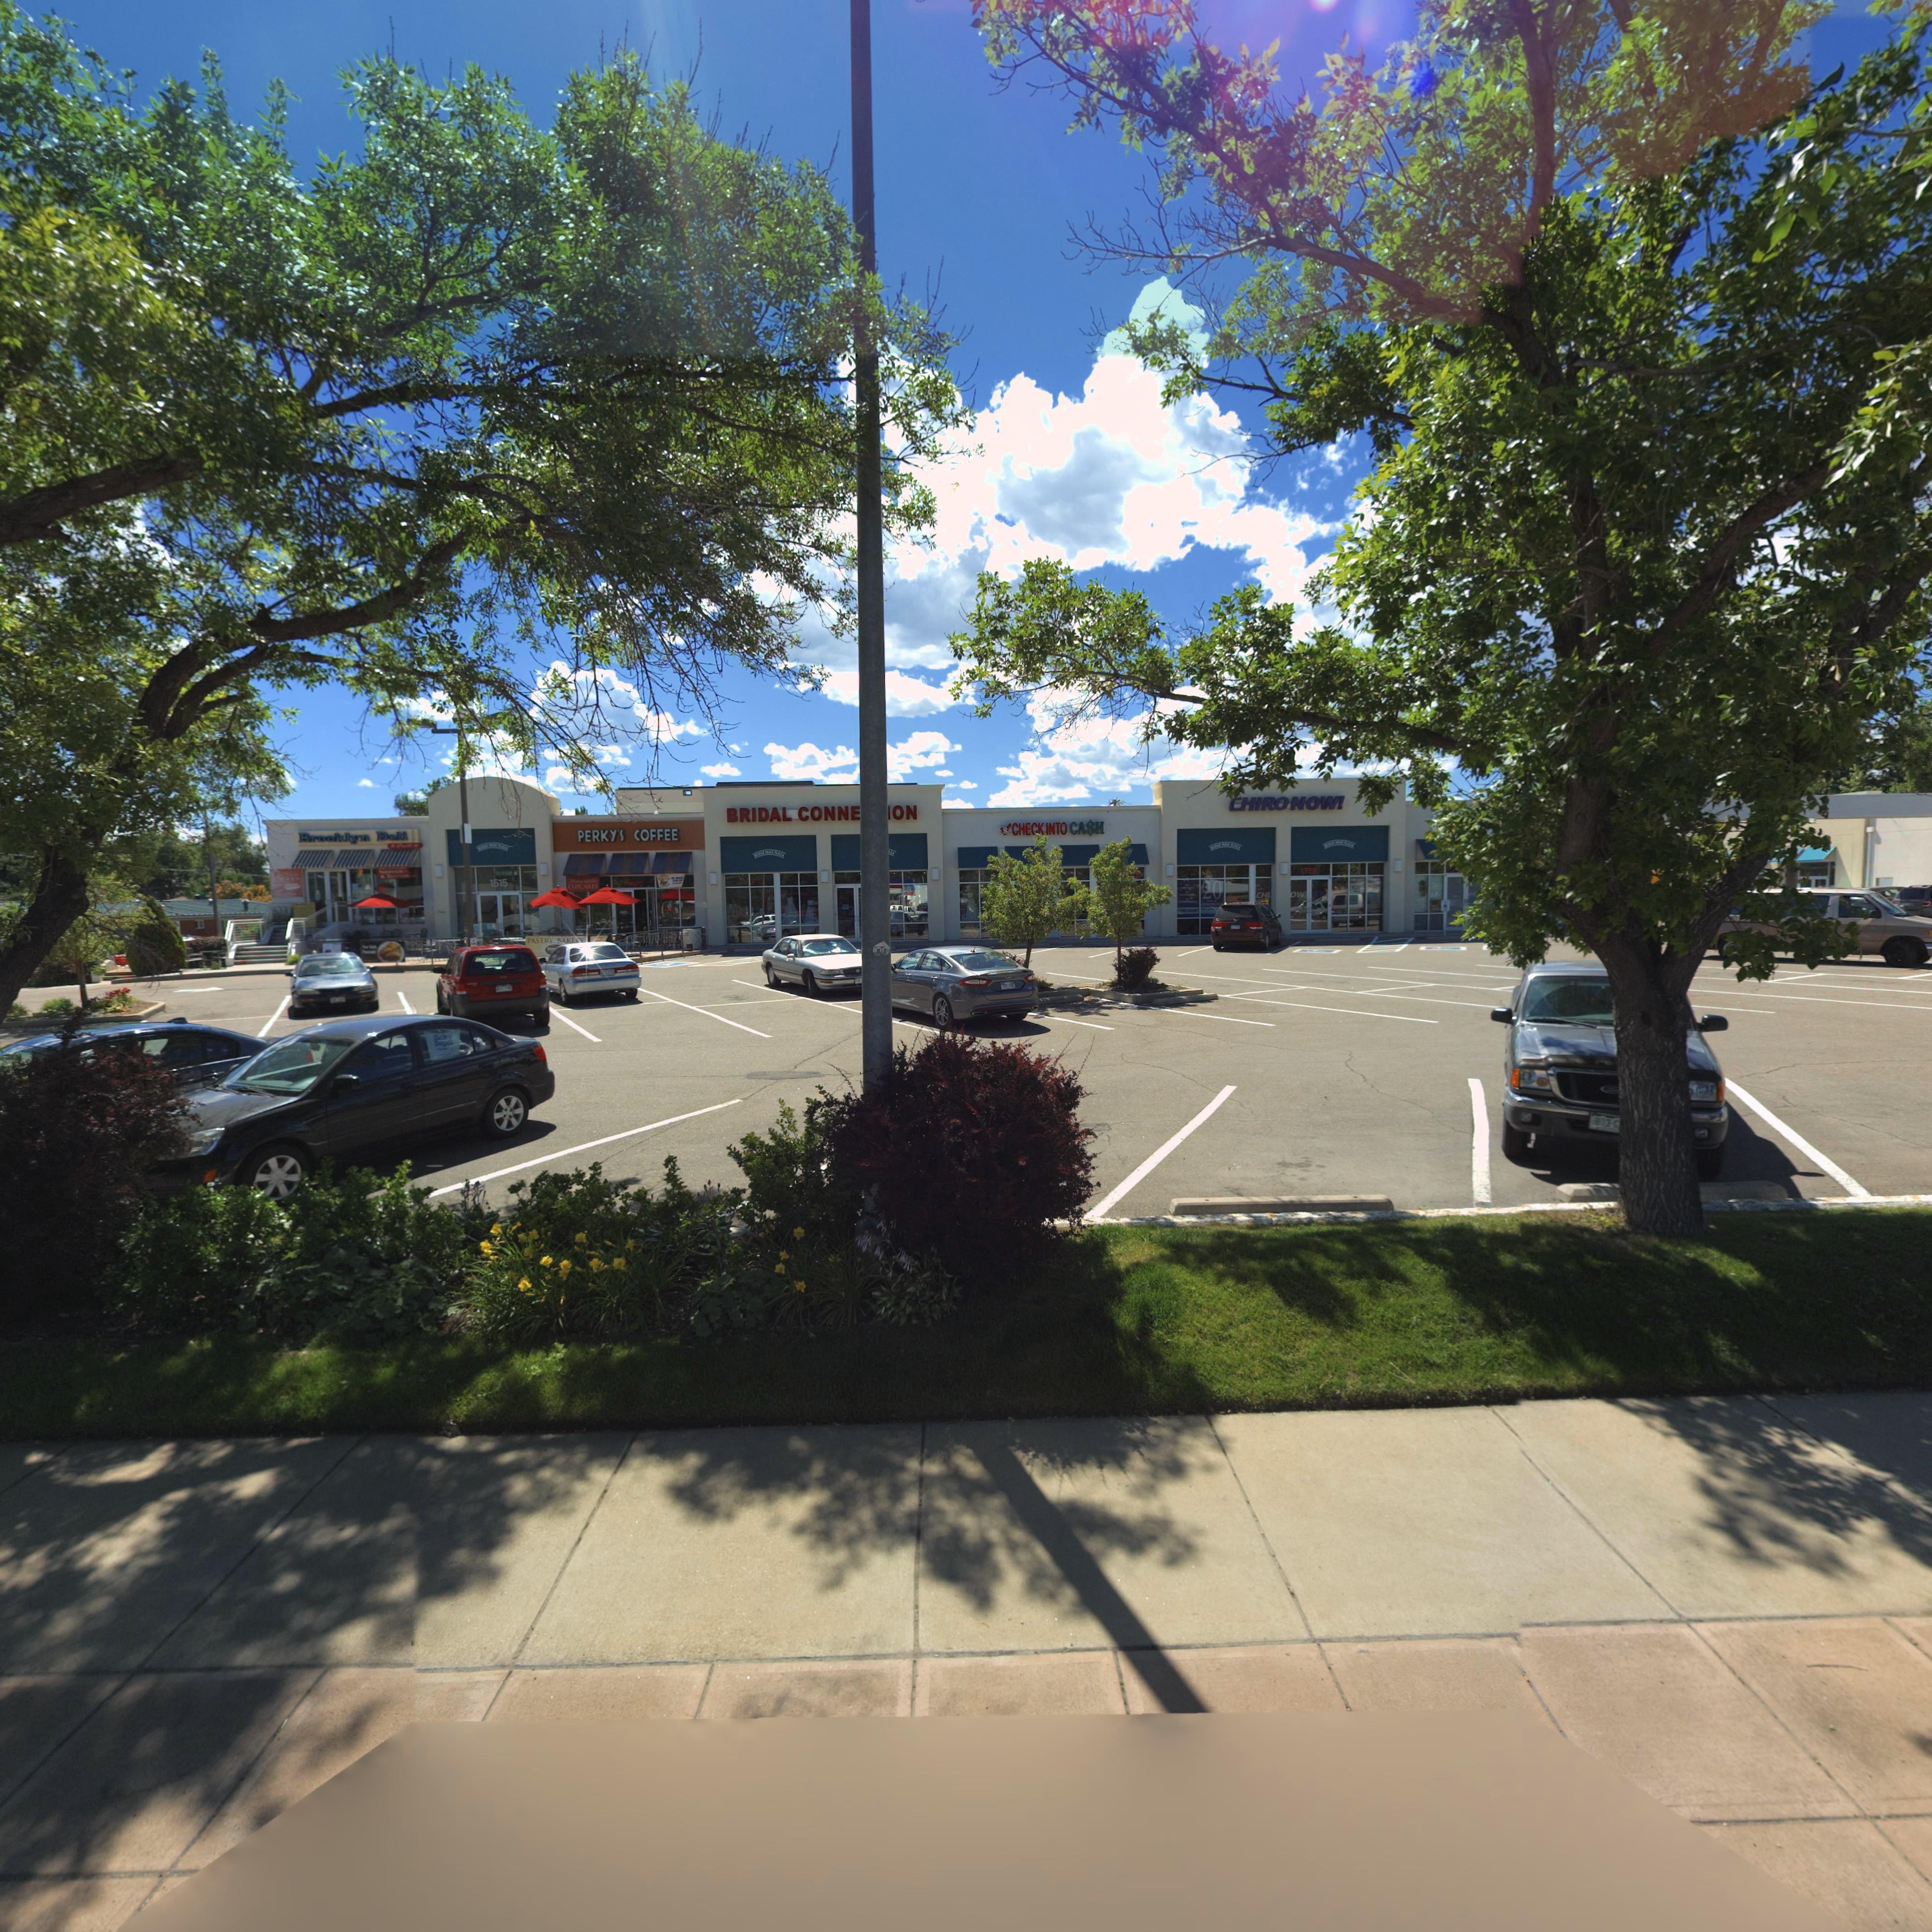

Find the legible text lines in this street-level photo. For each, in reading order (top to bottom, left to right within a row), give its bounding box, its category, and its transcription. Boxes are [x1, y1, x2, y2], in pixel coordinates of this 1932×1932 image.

[1229, 795, 1345, 811] BusinessName: CHIRO NOW!
[727, 804, 917, 822] BusinessName: BRIDAL CONNE**ION
[299, 829, 408, 844] BusinessName: Brooklyn Deli
[578, 828, 677, 841] BusinessName: PERKY'S COFFEE
[1011, 821, 1104, 835] BusinessName: CHECK INTO CASH
[490, 879, 507, 887] StreetNumber: 1515
[1256, 891, 1306, 898] BusinessName: CHI** *OW!